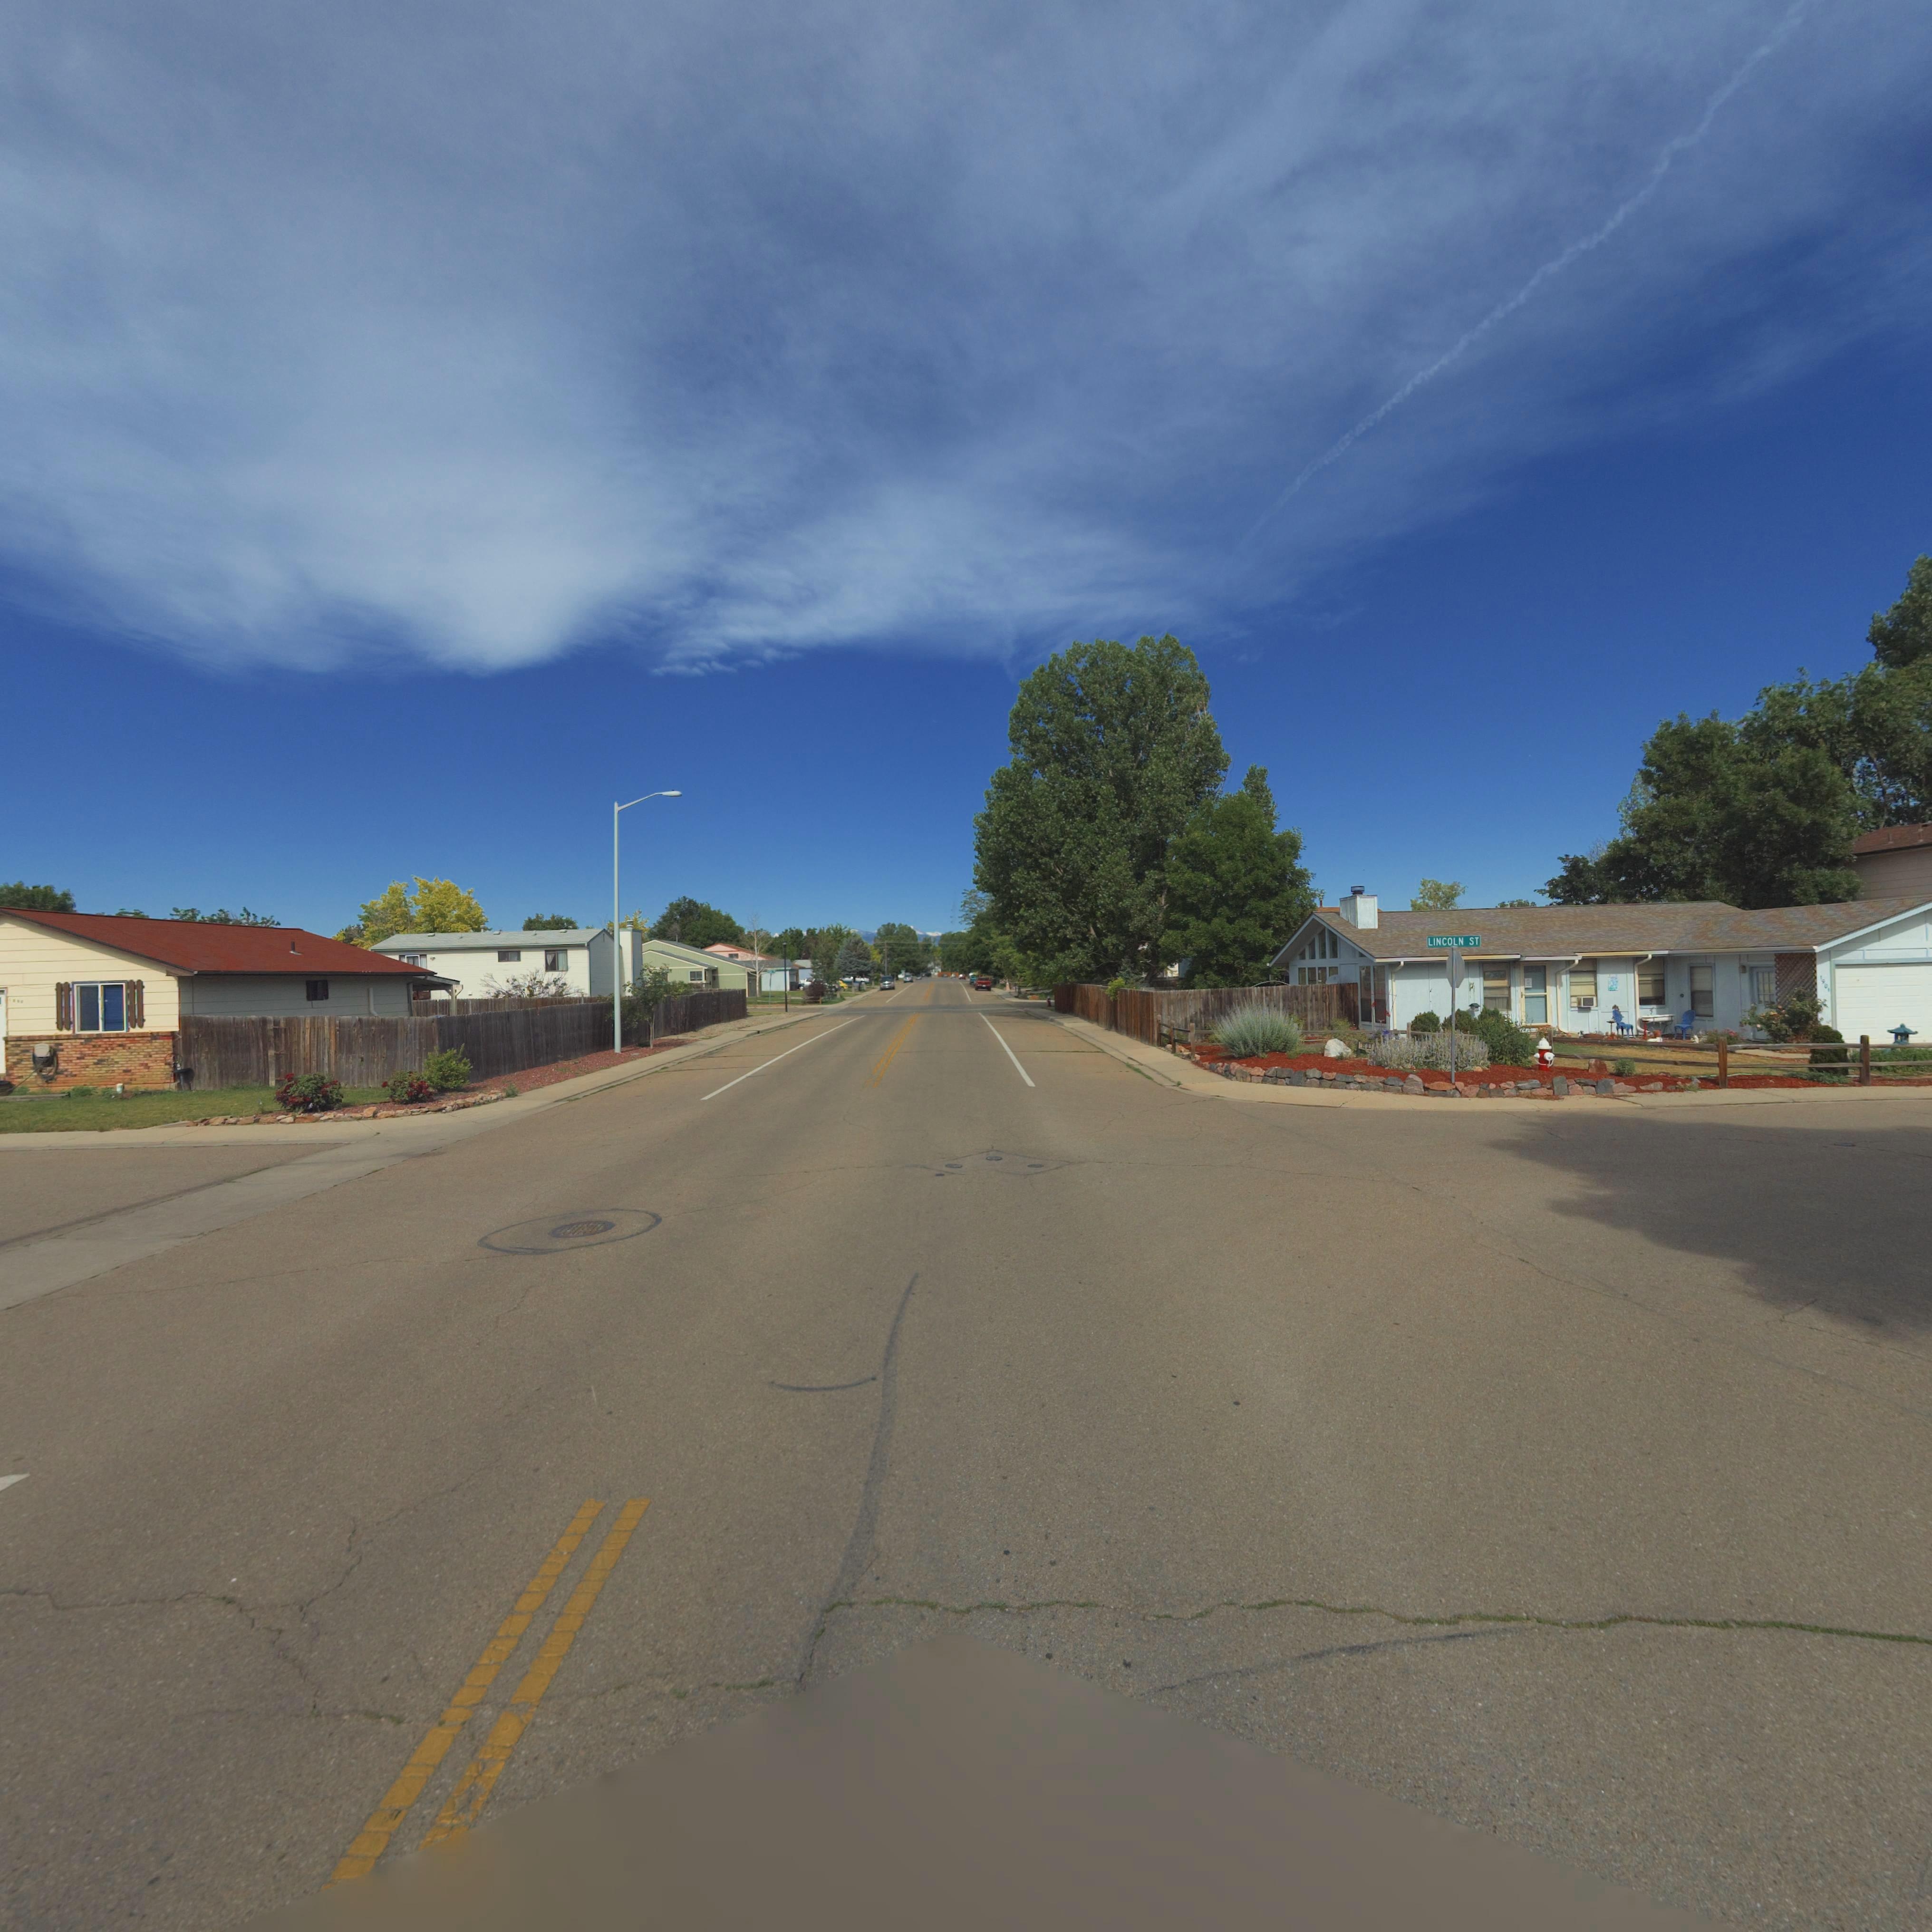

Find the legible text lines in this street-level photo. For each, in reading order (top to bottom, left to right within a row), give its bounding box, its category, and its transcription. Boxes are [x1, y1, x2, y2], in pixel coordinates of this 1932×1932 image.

[1428, 937, 1479, 946] StreetName: LINCOLN ST
[1819, 974, 1830, 992] StreetNumber: 1901
[8, 997, 24, 1004] StreetNumber: 1***